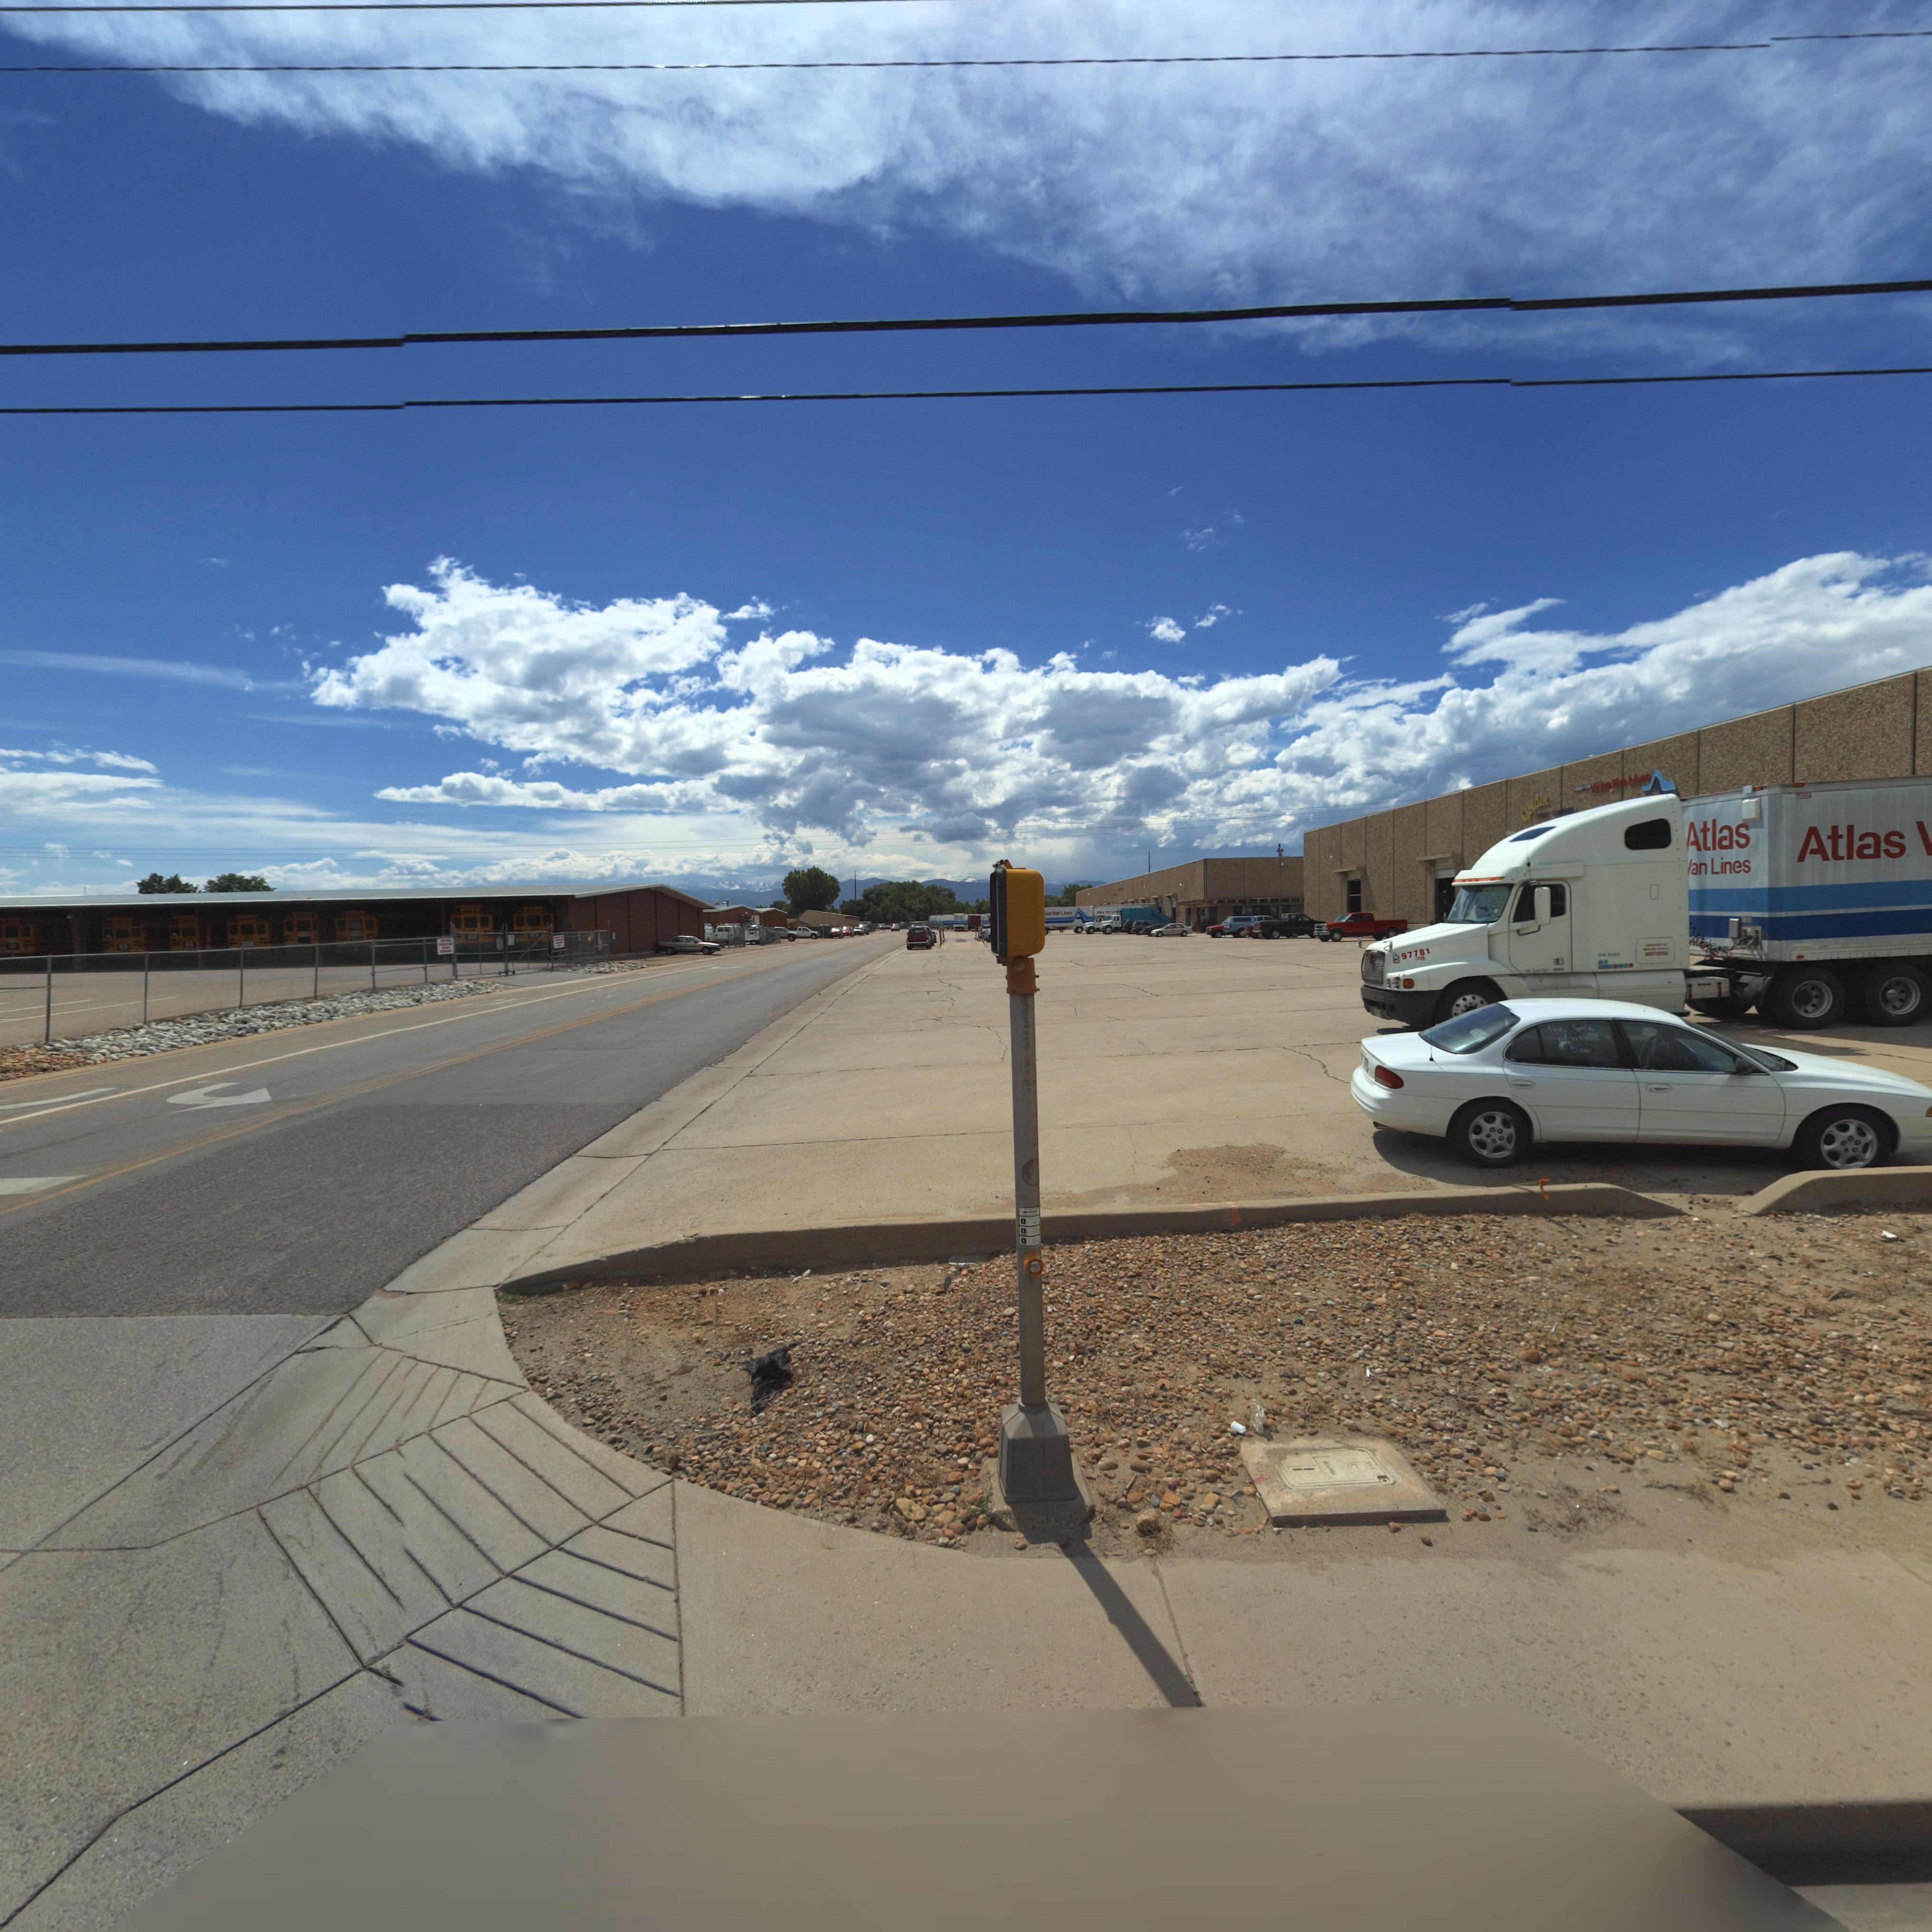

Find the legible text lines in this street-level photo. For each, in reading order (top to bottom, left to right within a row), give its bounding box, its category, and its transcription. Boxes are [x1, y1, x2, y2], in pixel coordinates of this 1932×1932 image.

[1591, 773, 1651, 792] BusinessName: Atlas Van Lines
[1520, 793, 1549, 826] BusinessName: golden
[1535, 806, 1575, 819] BusinessName: VAN LINES